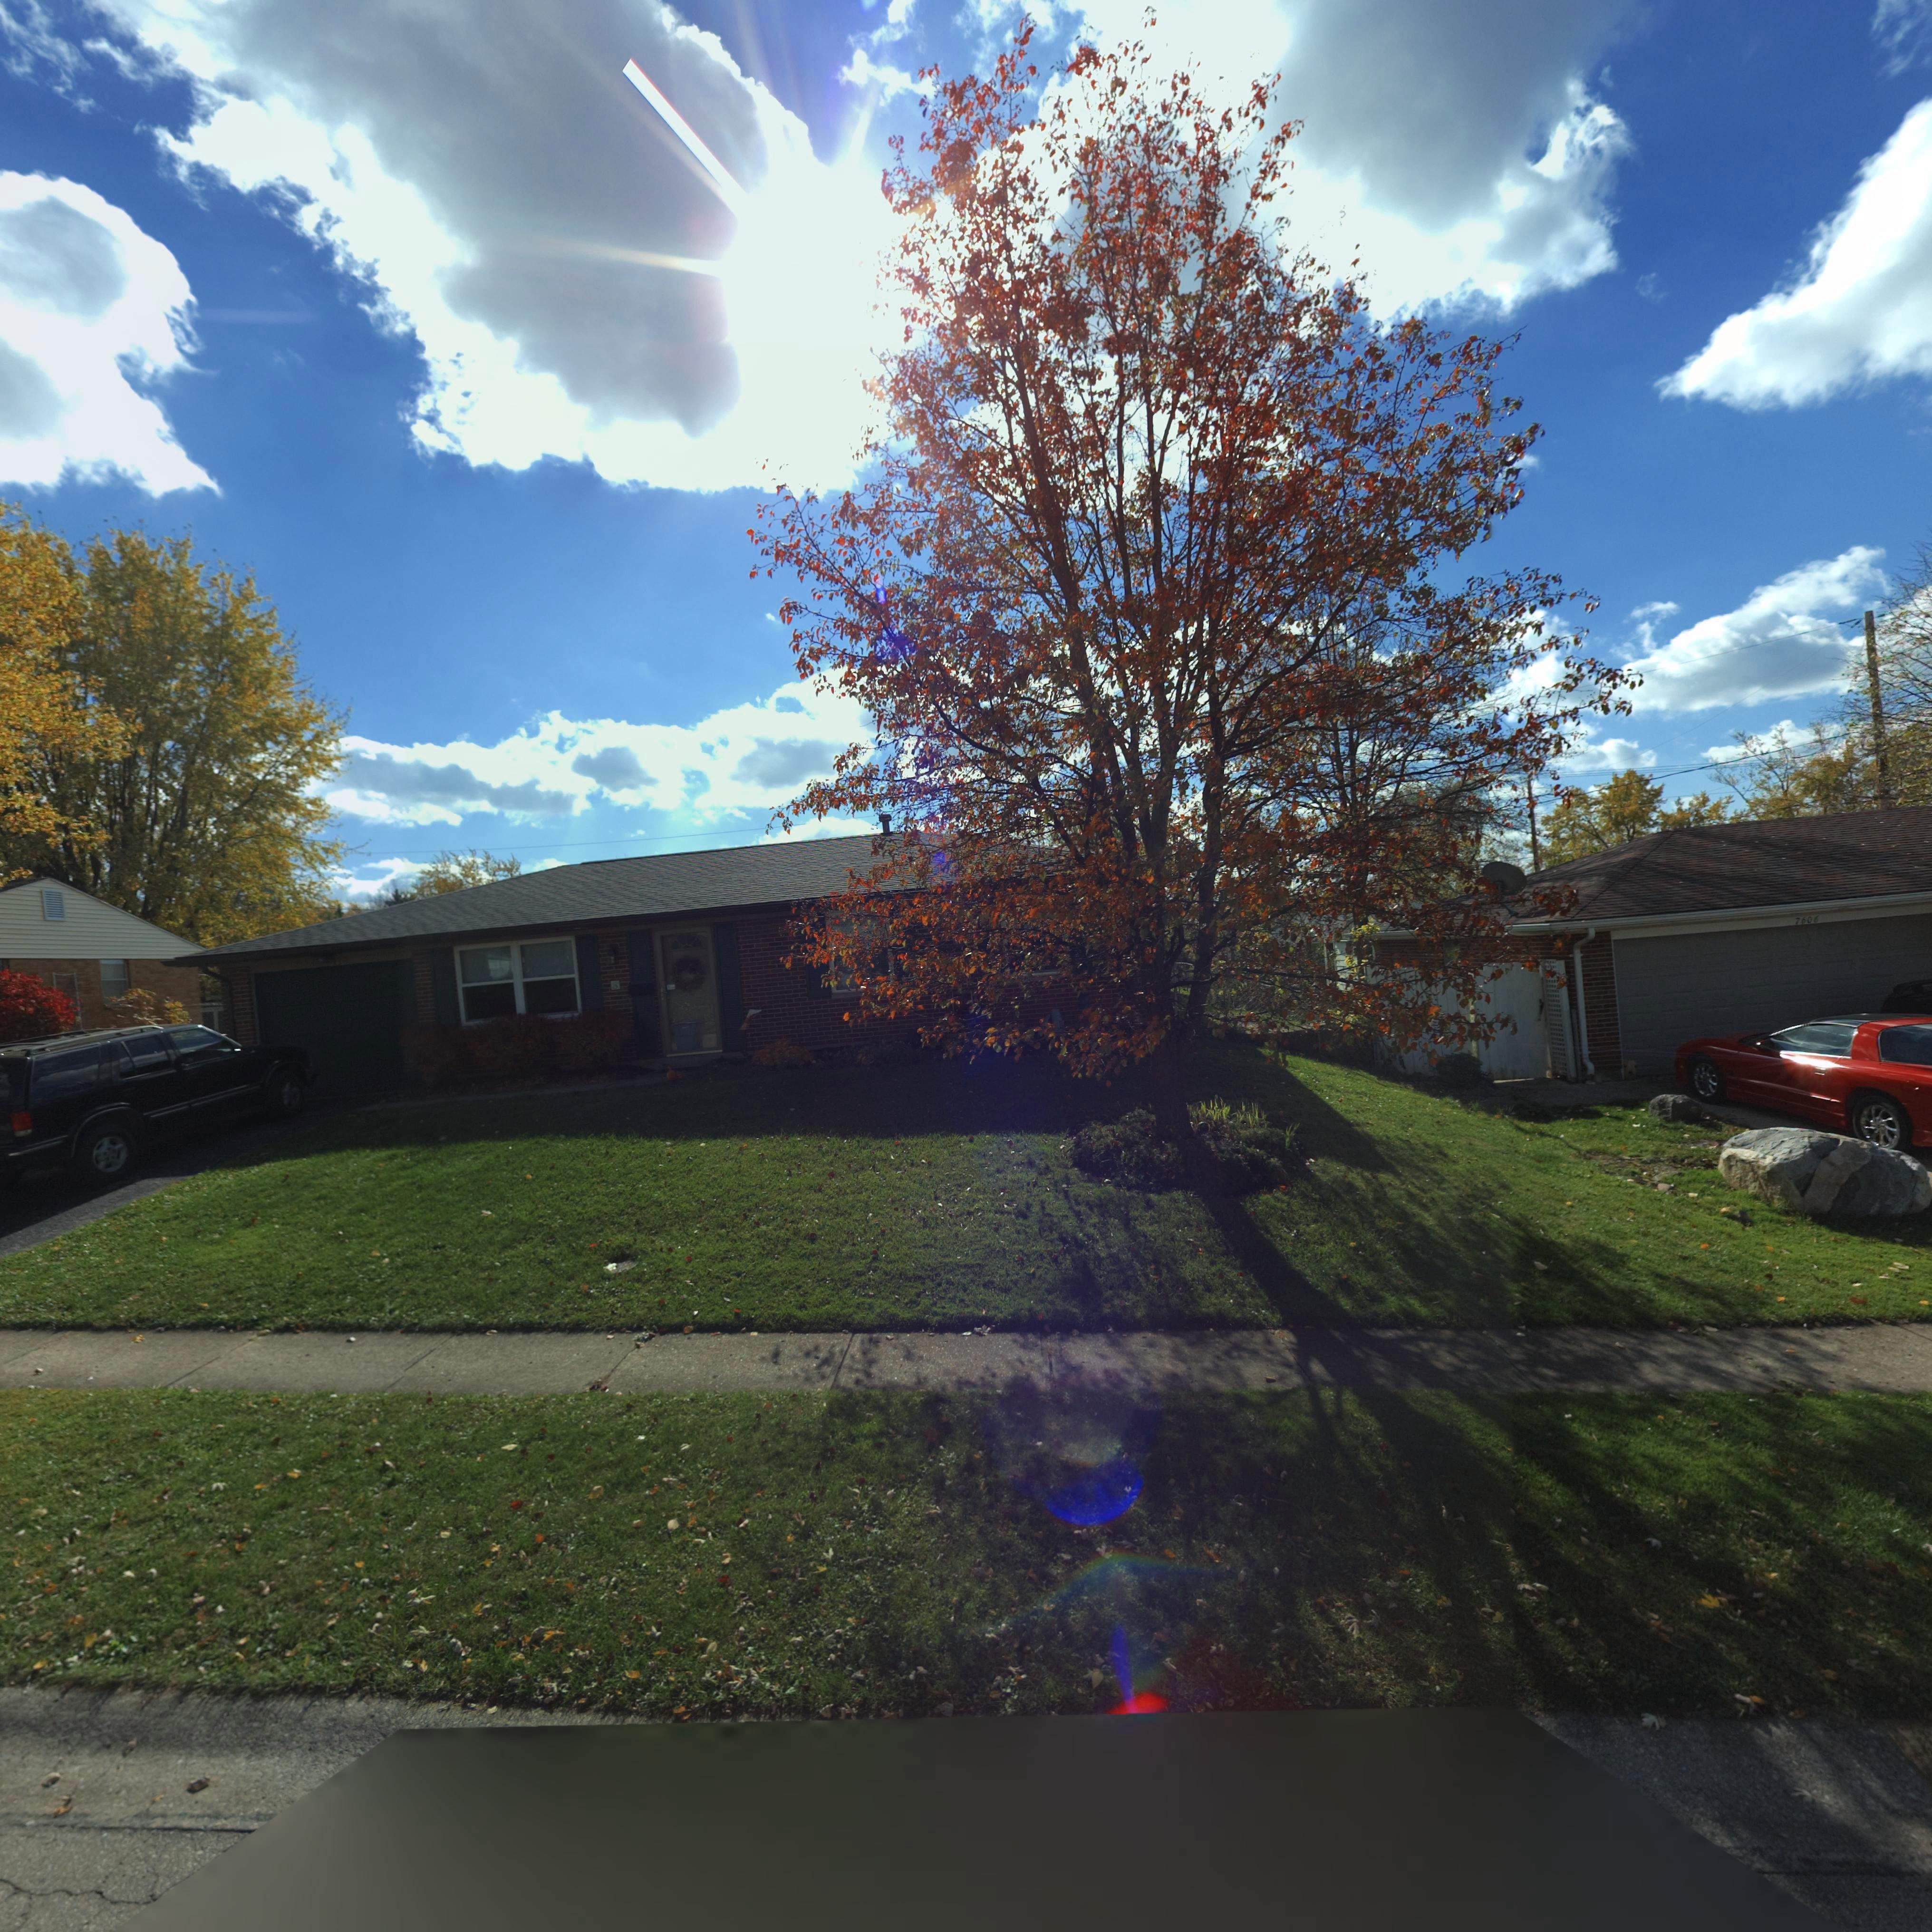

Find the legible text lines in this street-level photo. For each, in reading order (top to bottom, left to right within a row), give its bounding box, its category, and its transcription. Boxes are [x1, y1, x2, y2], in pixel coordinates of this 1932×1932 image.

[1795, 915, 1819, 926] StreetNumber: 7606